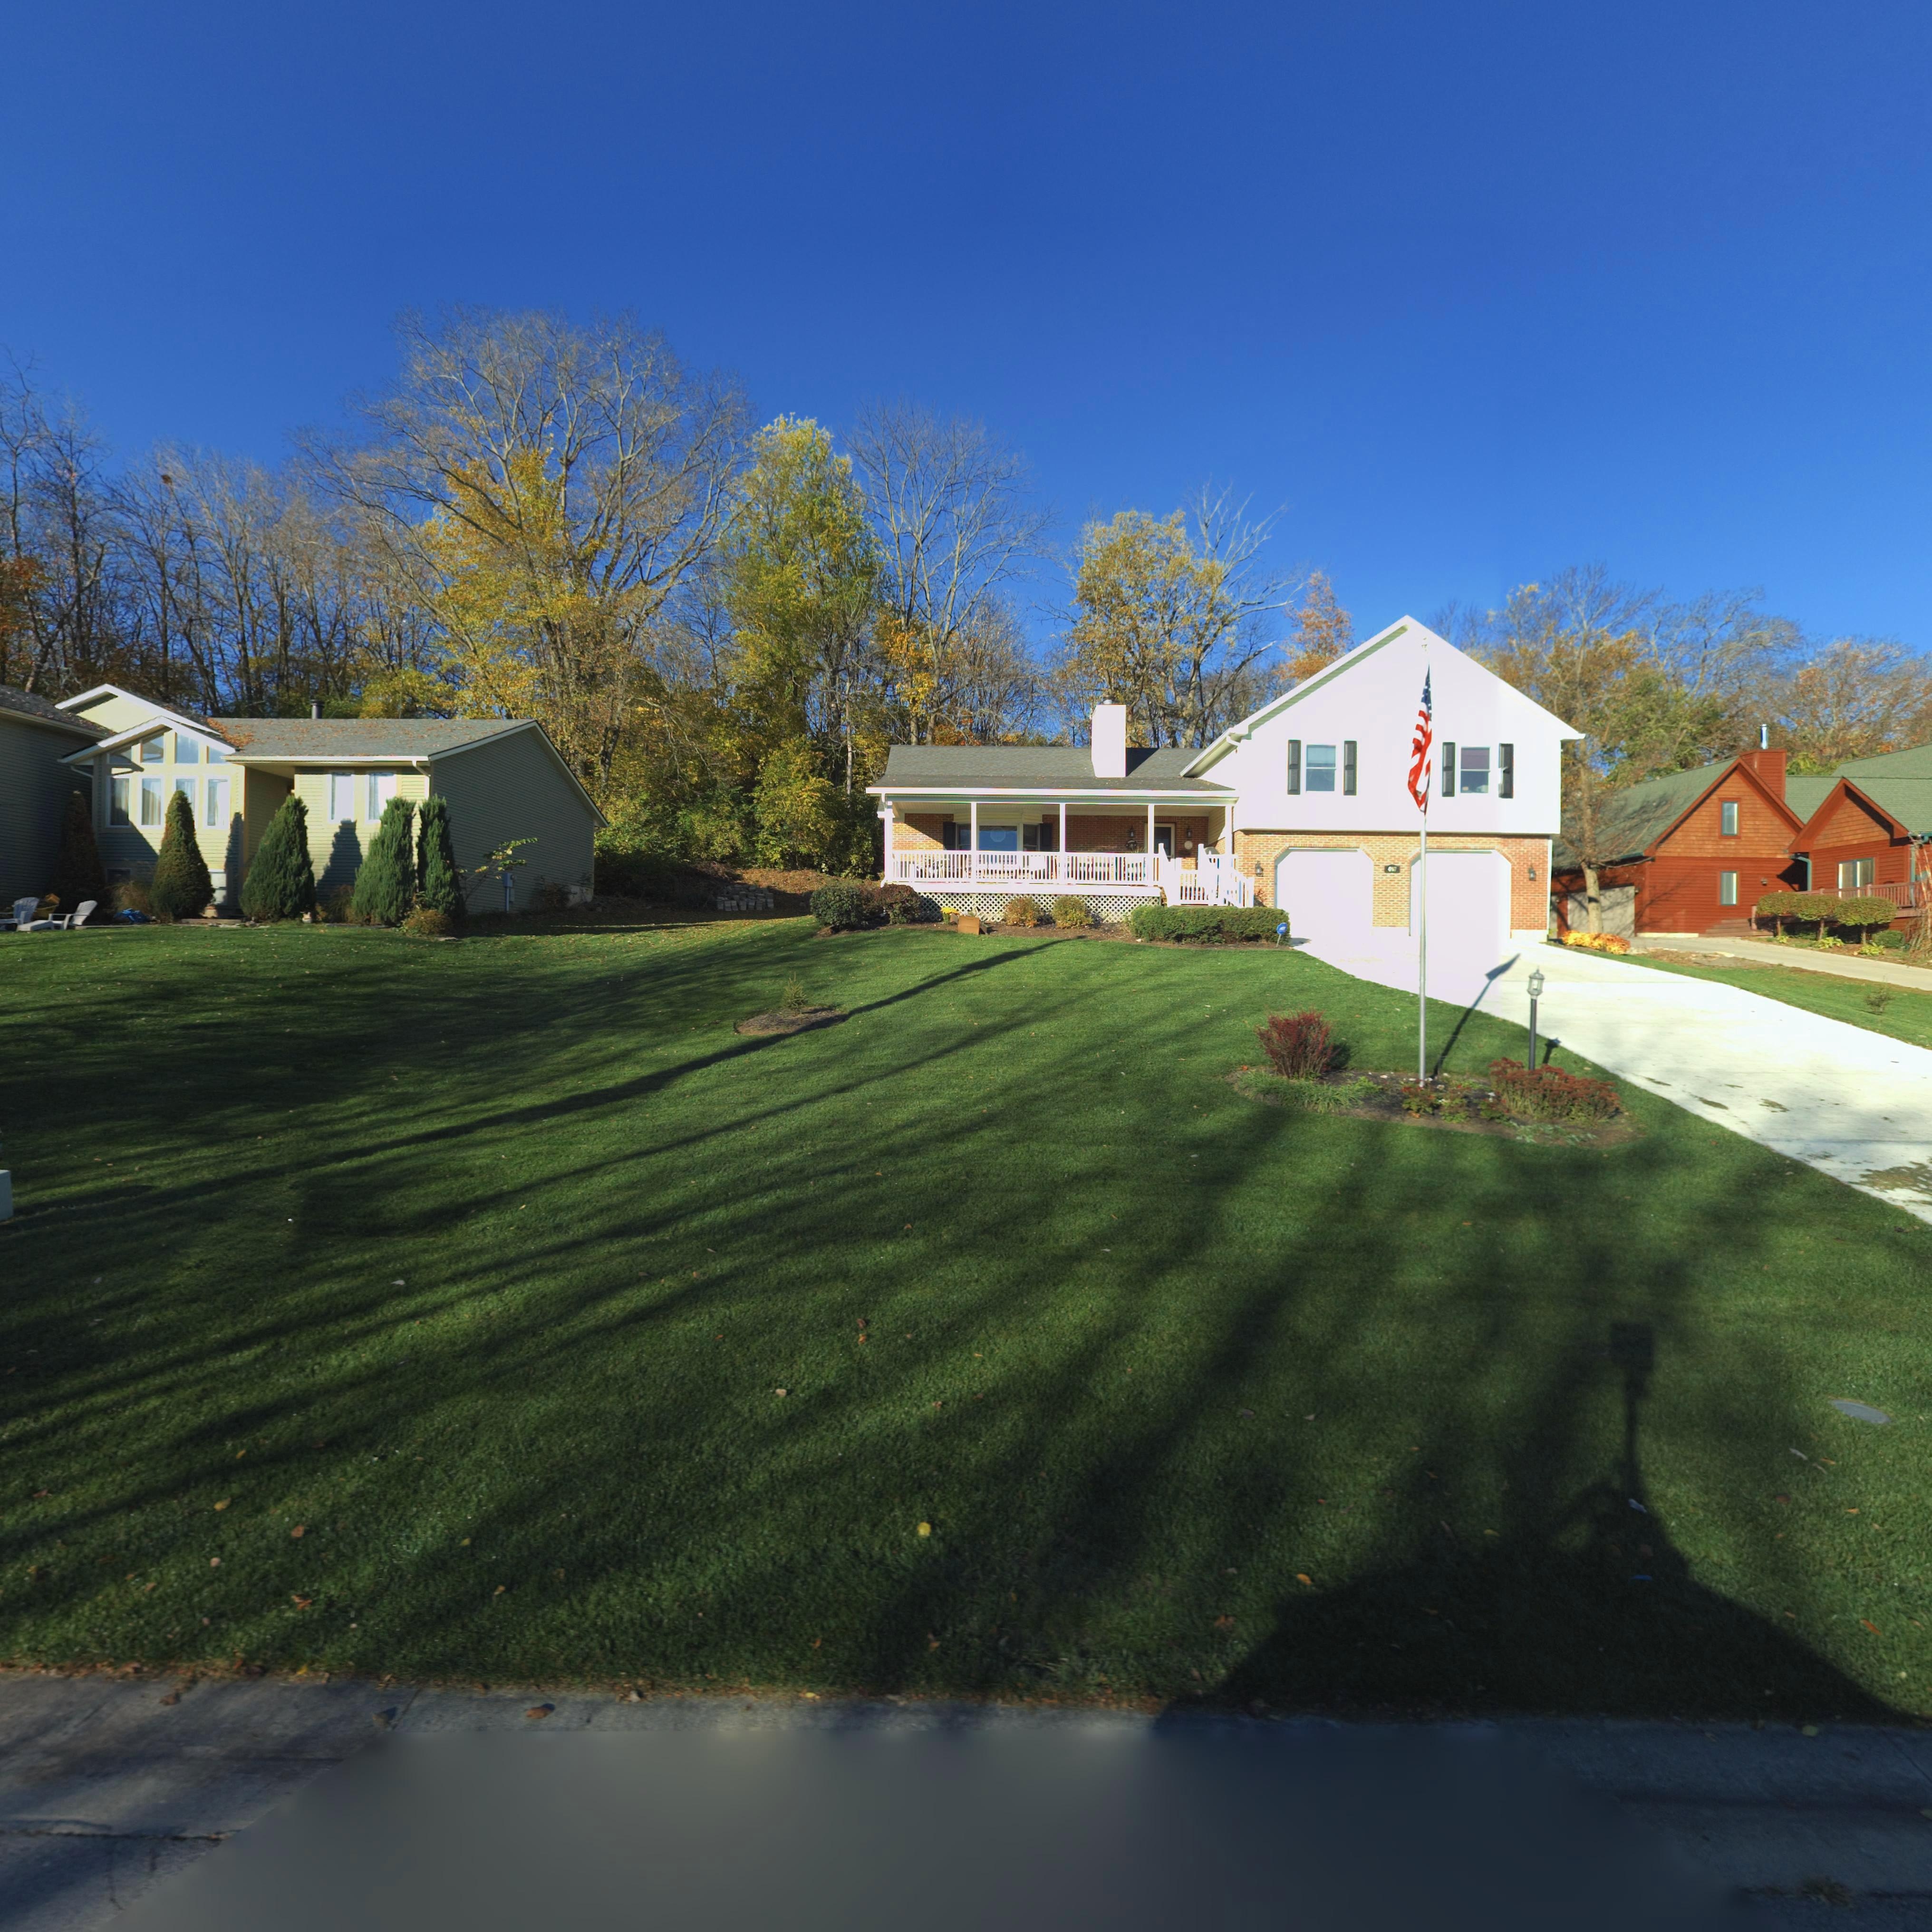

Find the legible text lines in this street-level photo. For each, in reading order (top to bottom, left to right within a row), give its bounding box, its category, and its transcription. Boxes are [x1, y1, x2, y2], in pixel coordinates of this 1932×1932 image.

[1387, 866, 1397, 872] StreetNumber: 4*7